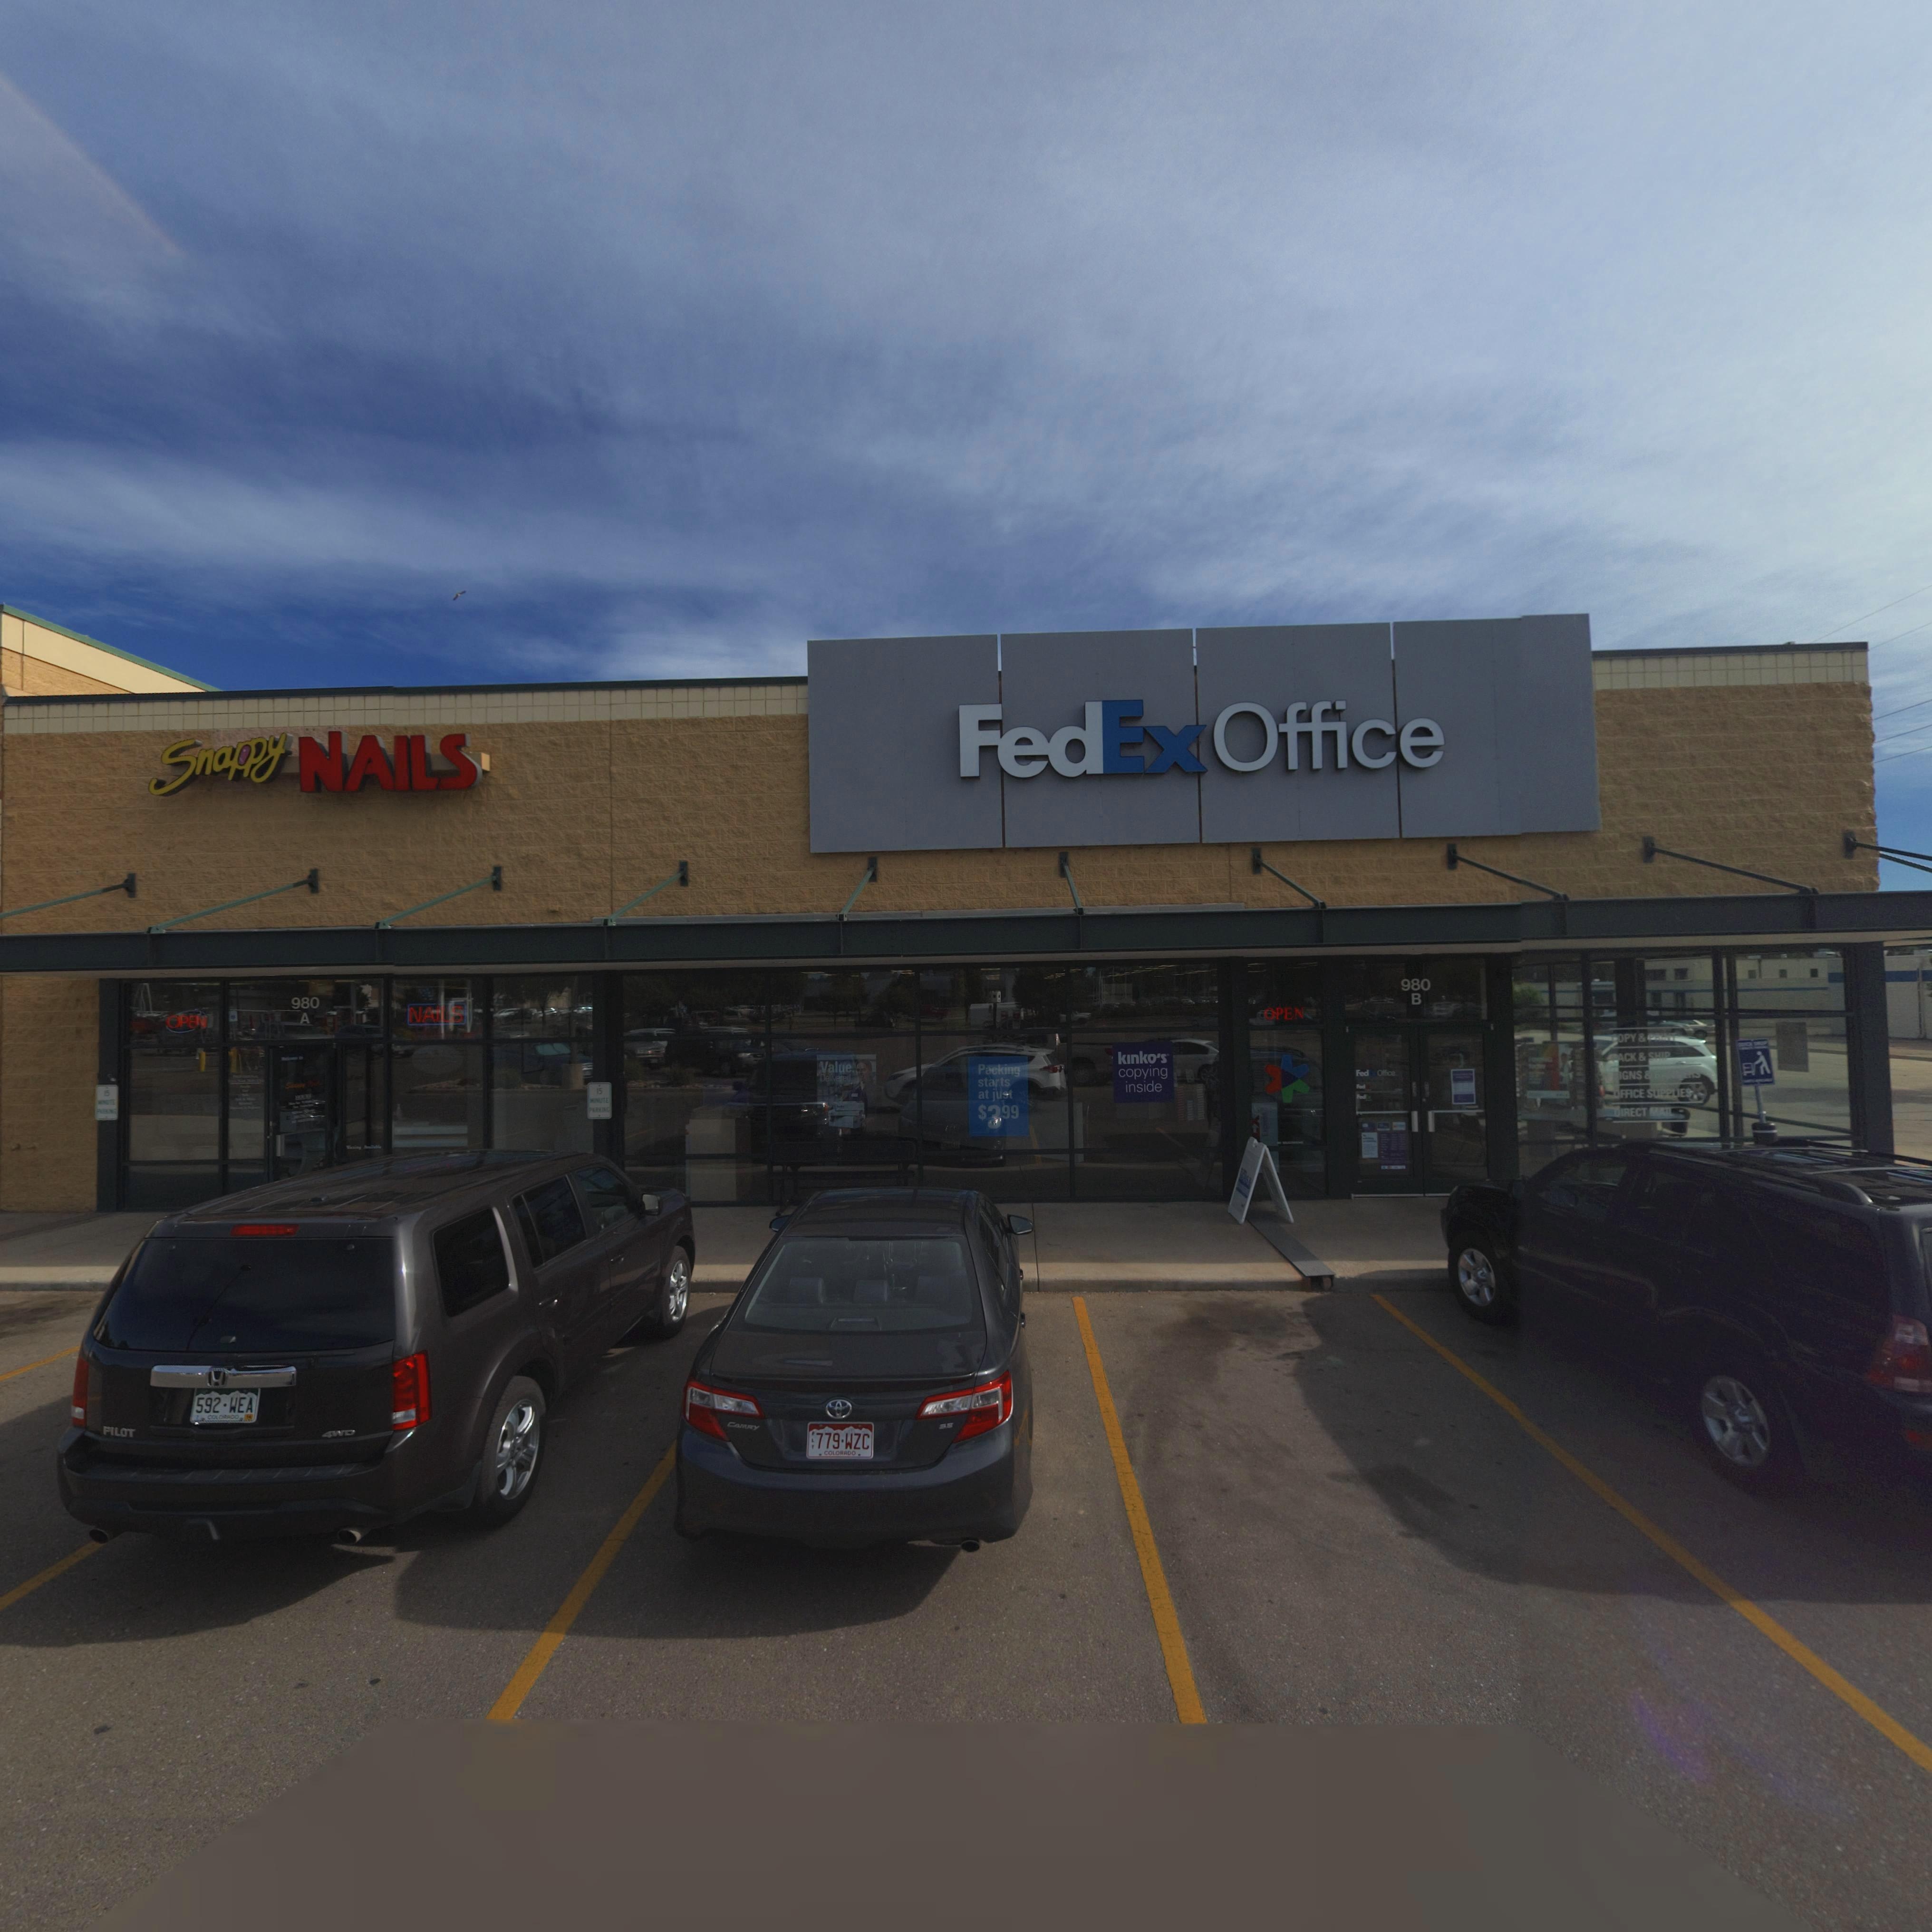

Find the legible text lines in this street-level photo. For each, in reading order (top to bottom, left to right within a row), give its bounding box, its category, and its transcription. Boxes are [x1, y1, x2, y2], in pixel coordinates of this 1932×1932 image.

[957, 696, 1447, 779] BusinessName: FedEx Office
[146, 730, 478, 796] BusinessName: Snappy NAILS
[1401, 978, 1431, 991] StreetNumber: 980
[291, 996, 319, 1009] StreetNumber: 980
[1356, 1069, 1396, 1076] BusinessName: FedEx Office
[285, 1080, 322, 1089] BusinessName: S***** *****
[1356, 1084, 1370, 1089] BusinessName: F*d**
[1356, 1094, 1371, 1099] BusinessName: F****